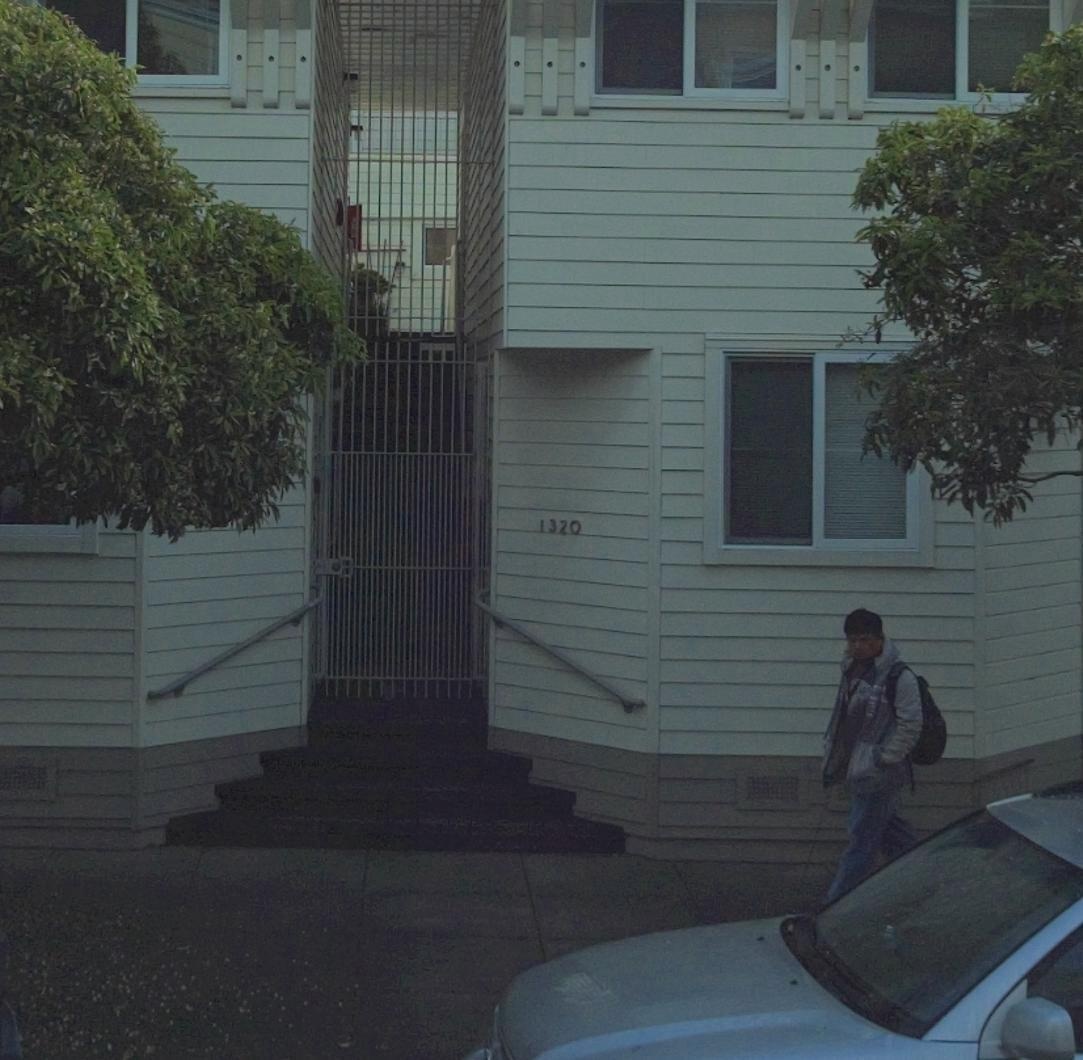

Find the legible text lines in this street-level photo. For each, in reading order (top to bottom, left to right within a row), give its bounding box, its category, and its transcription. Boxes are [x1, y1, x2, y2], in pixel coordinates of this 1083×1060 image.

[537, 515, 585, 538] StreetNumber: 1320